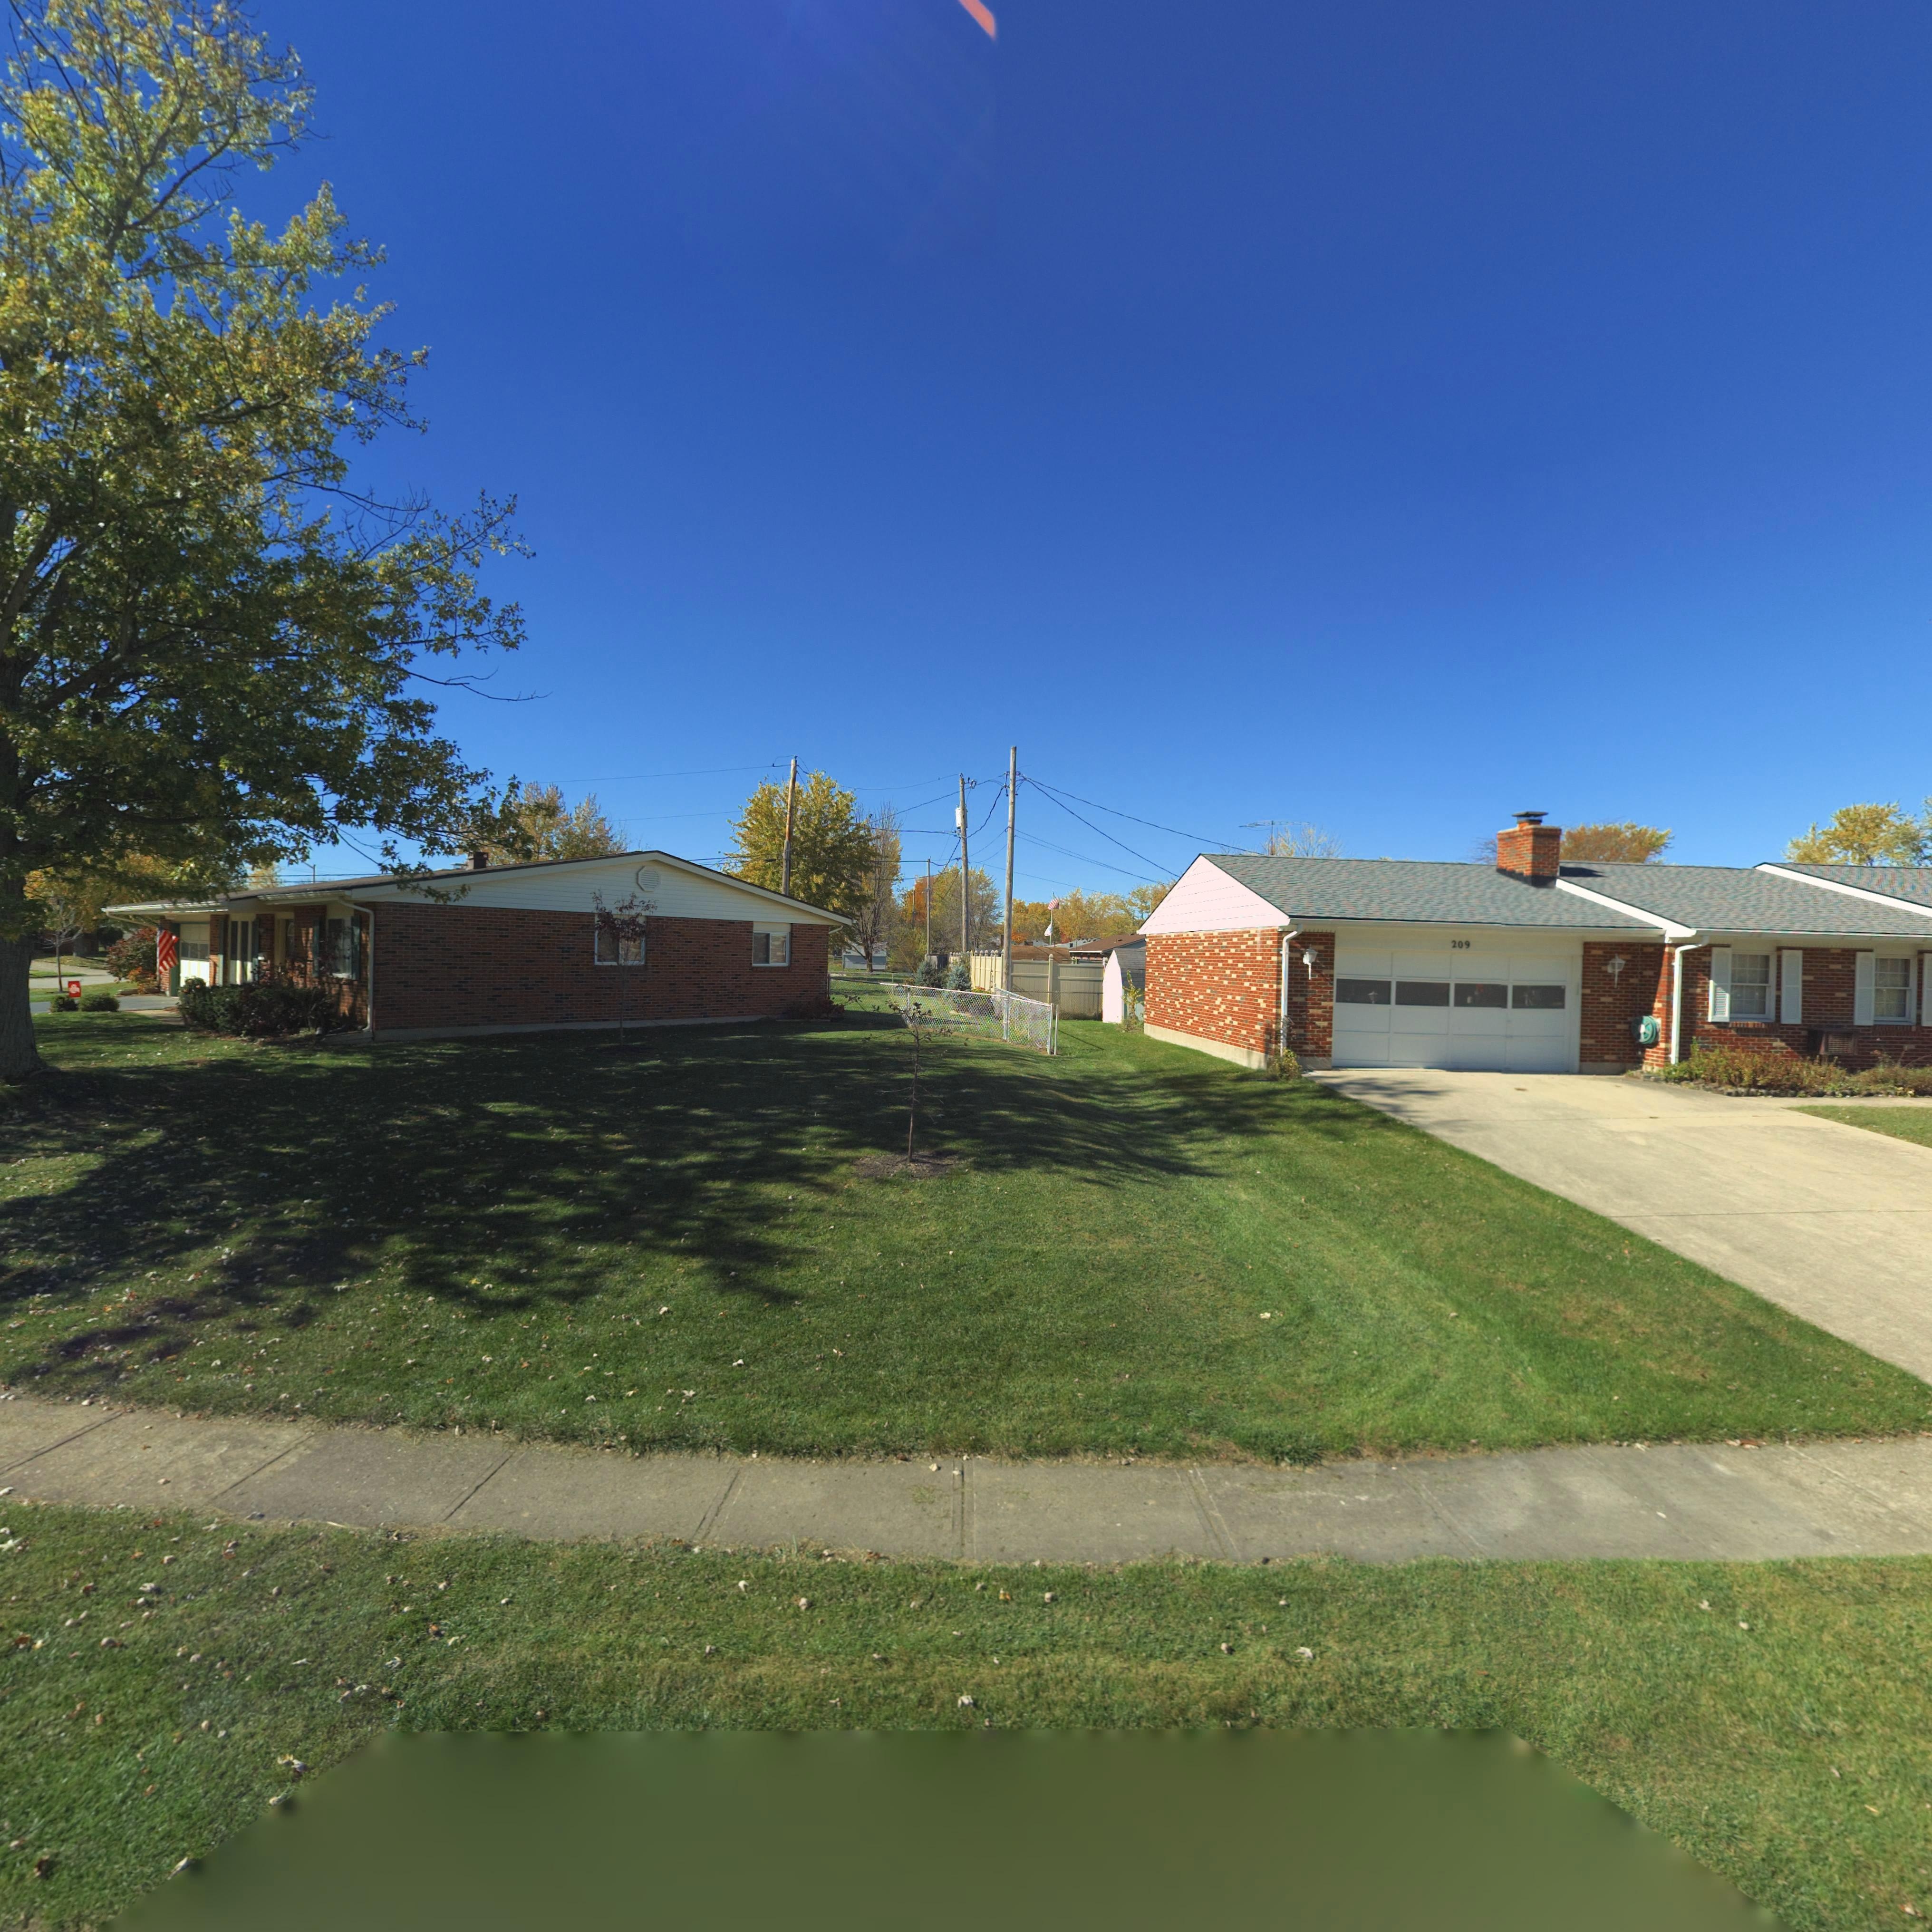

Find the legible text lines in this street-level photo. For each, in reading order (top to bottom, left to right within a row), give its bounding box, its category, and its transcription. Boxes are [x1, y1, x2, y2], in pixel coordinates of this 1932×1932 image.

[1451, 939, 1471, 949] StreetNumber: 209